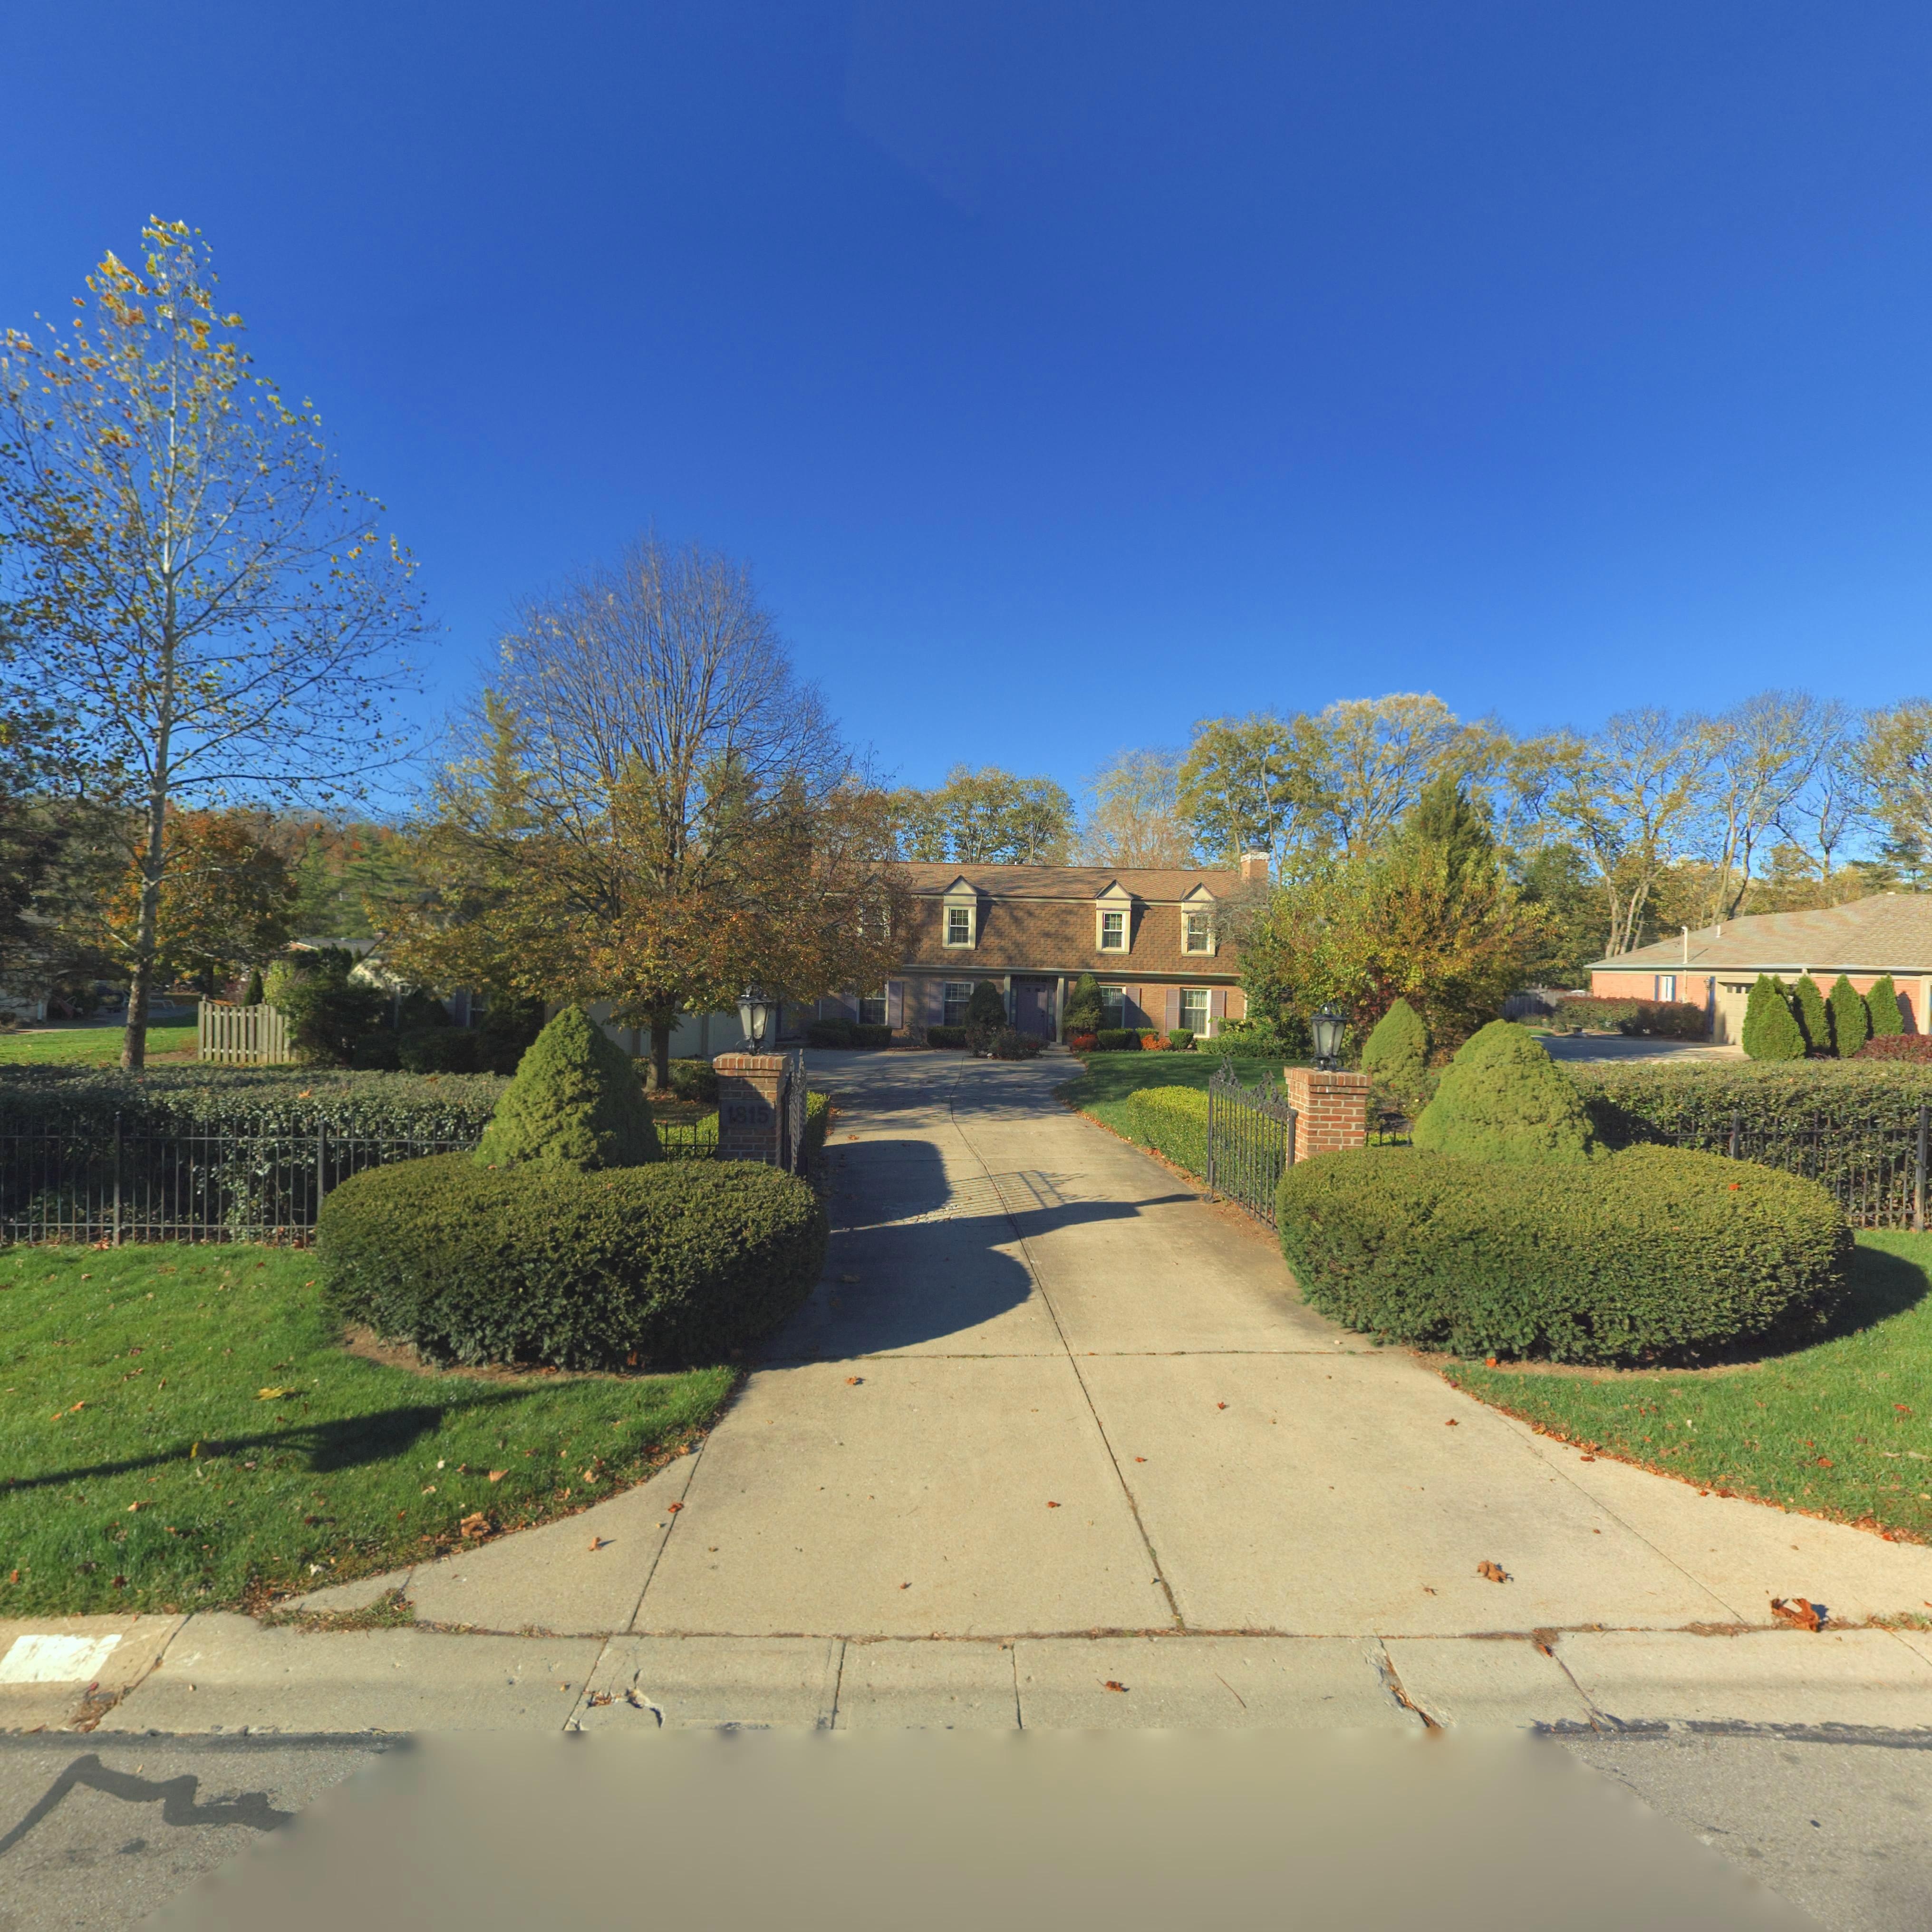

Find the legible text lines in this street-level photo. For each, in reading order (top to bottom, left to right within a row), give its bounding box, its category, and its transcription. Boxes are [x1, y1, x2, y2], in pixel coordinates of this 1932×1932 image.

[726, 1104, 770, 1124] StreetNumber: 1815